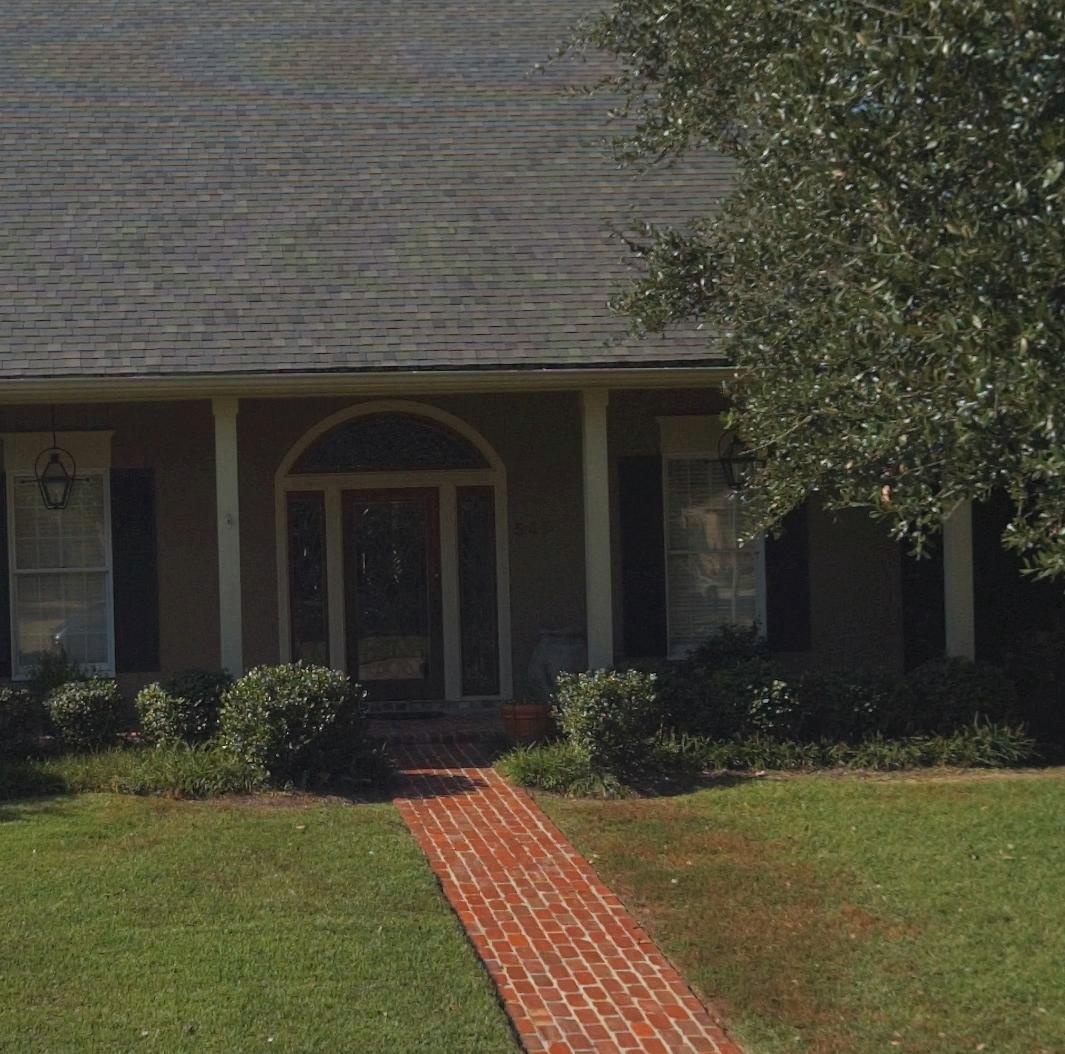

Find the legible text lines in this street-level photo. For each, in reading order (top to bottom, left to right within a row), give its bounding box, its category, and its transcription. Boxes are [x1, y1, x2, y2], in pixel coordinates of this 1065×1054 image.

[513, 520, 549, 537] StreetNumber: 541